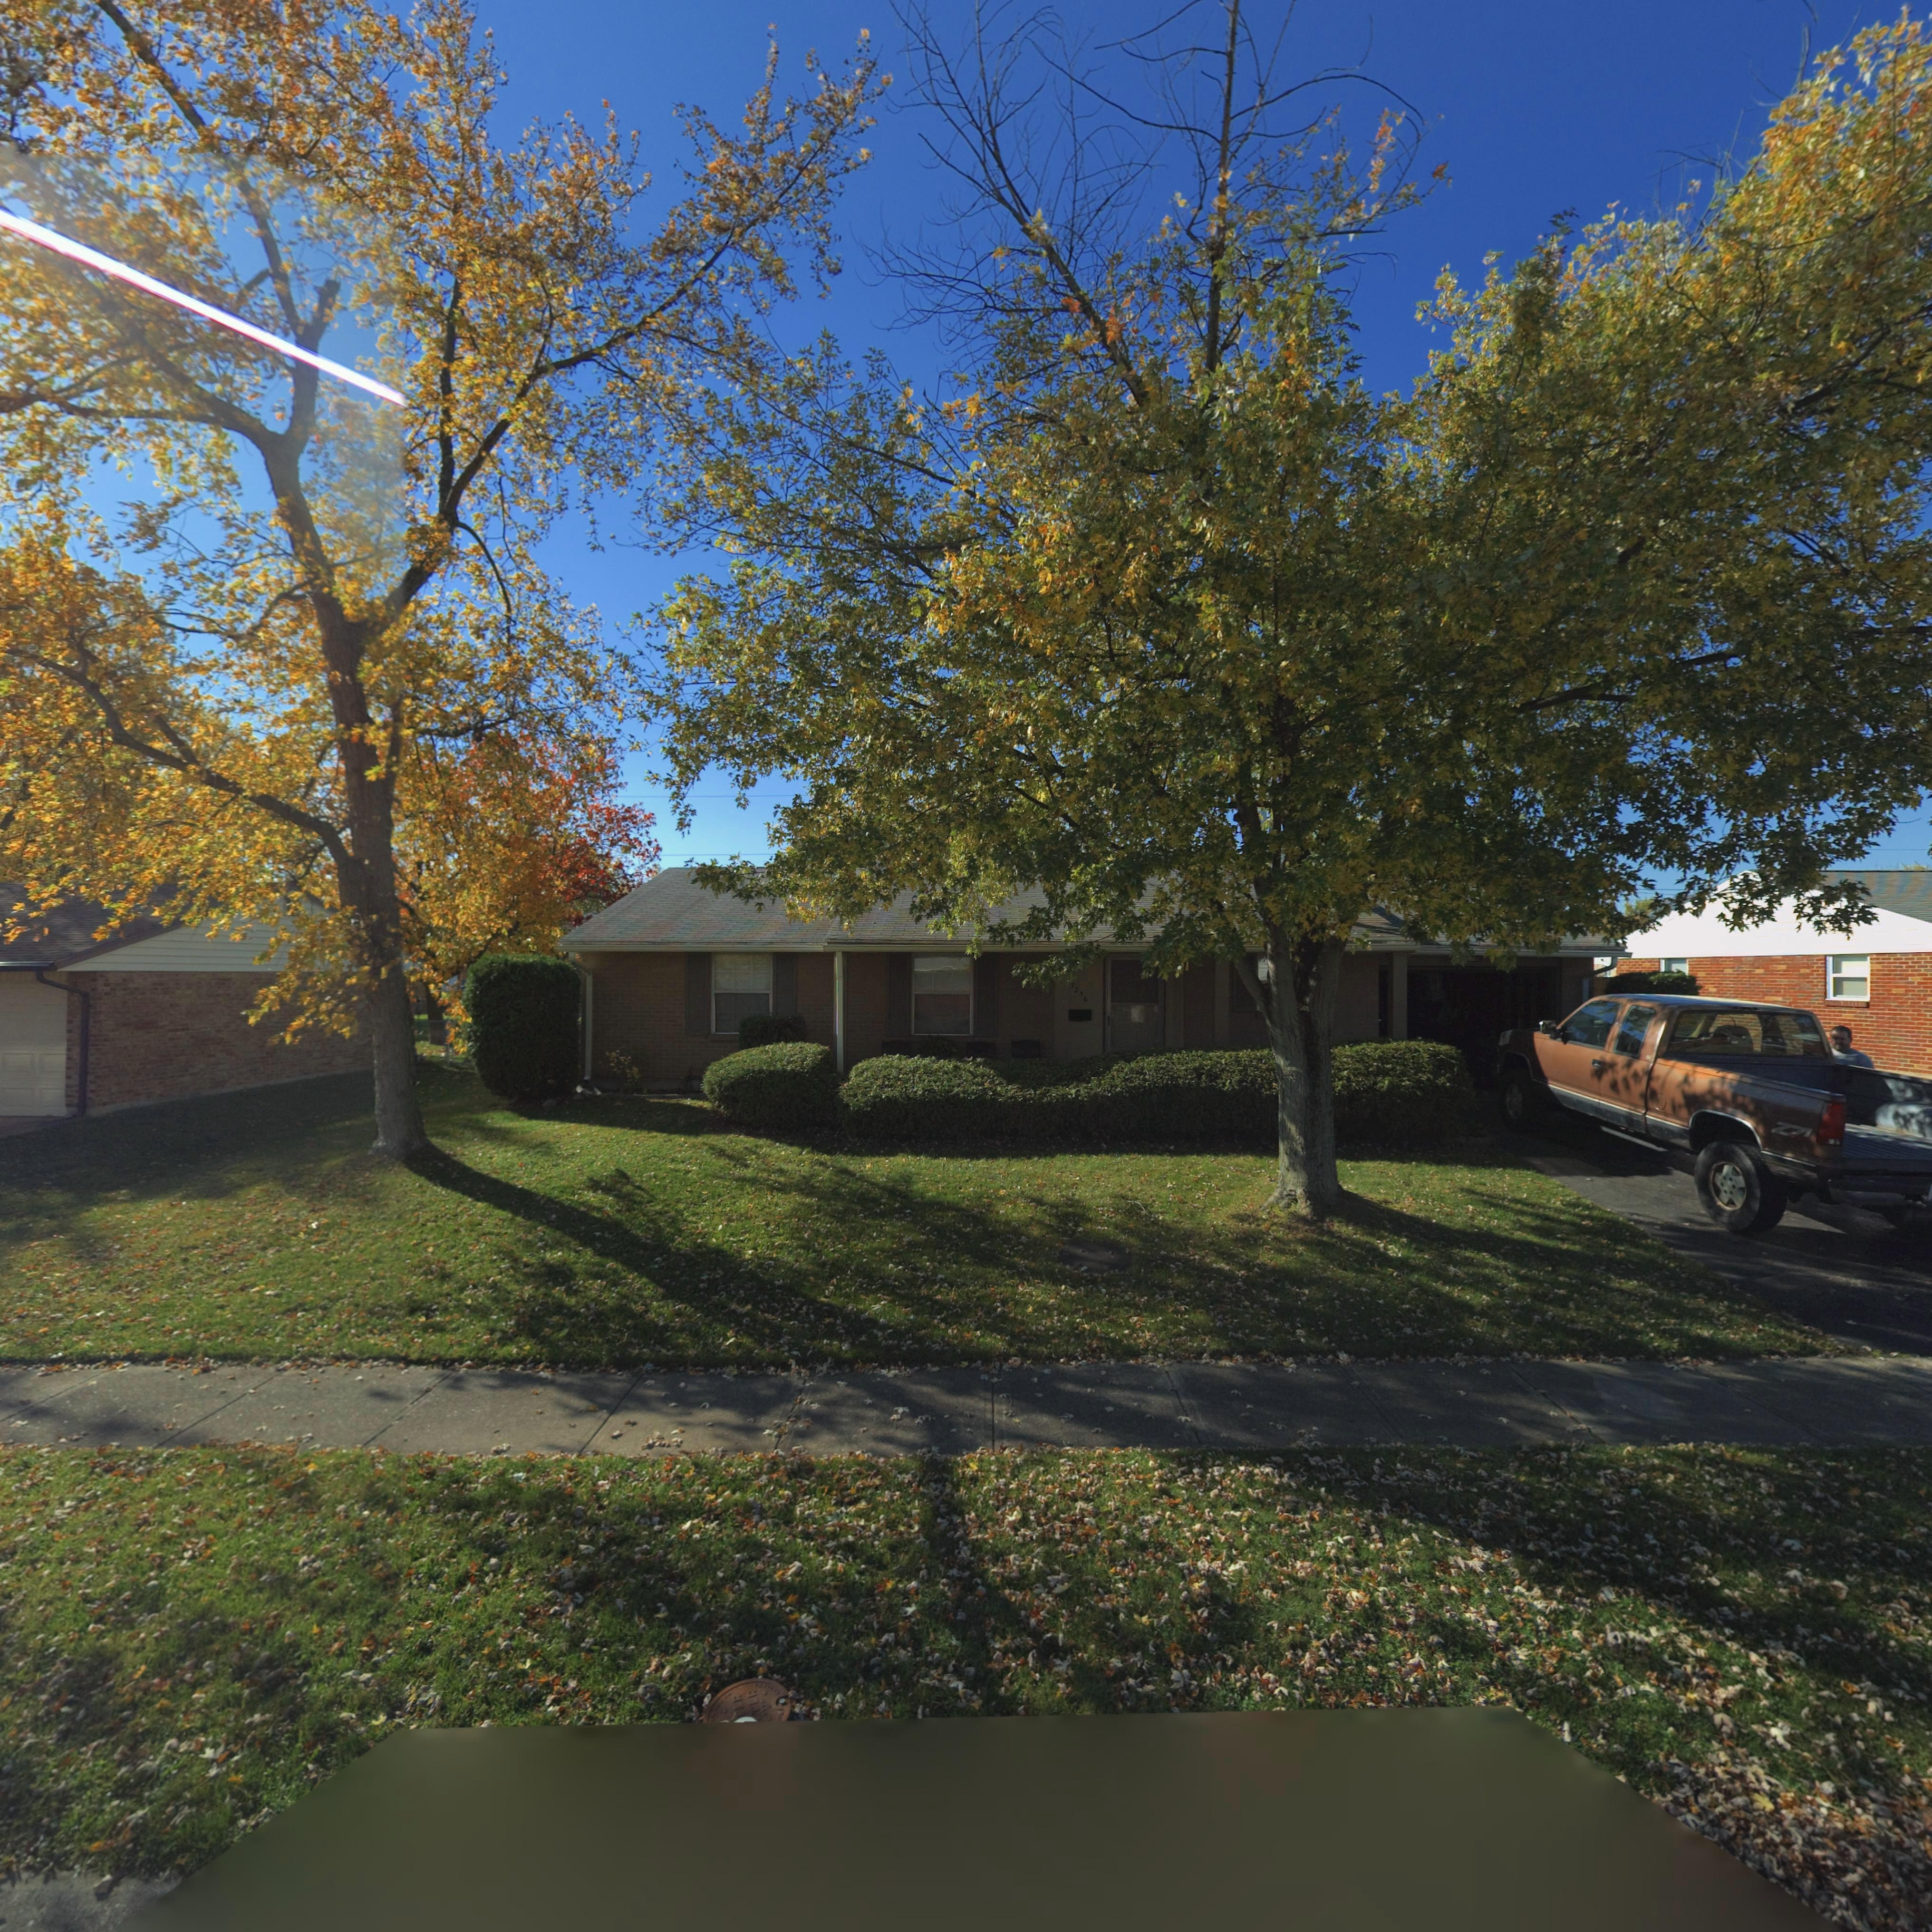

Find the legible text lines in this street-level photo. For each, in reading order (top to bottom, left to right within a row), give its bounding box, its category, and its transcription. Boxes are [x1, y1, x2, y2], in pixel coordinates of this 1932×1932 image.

[1070, 982, 1089, 1003] StreetNumber: 7236